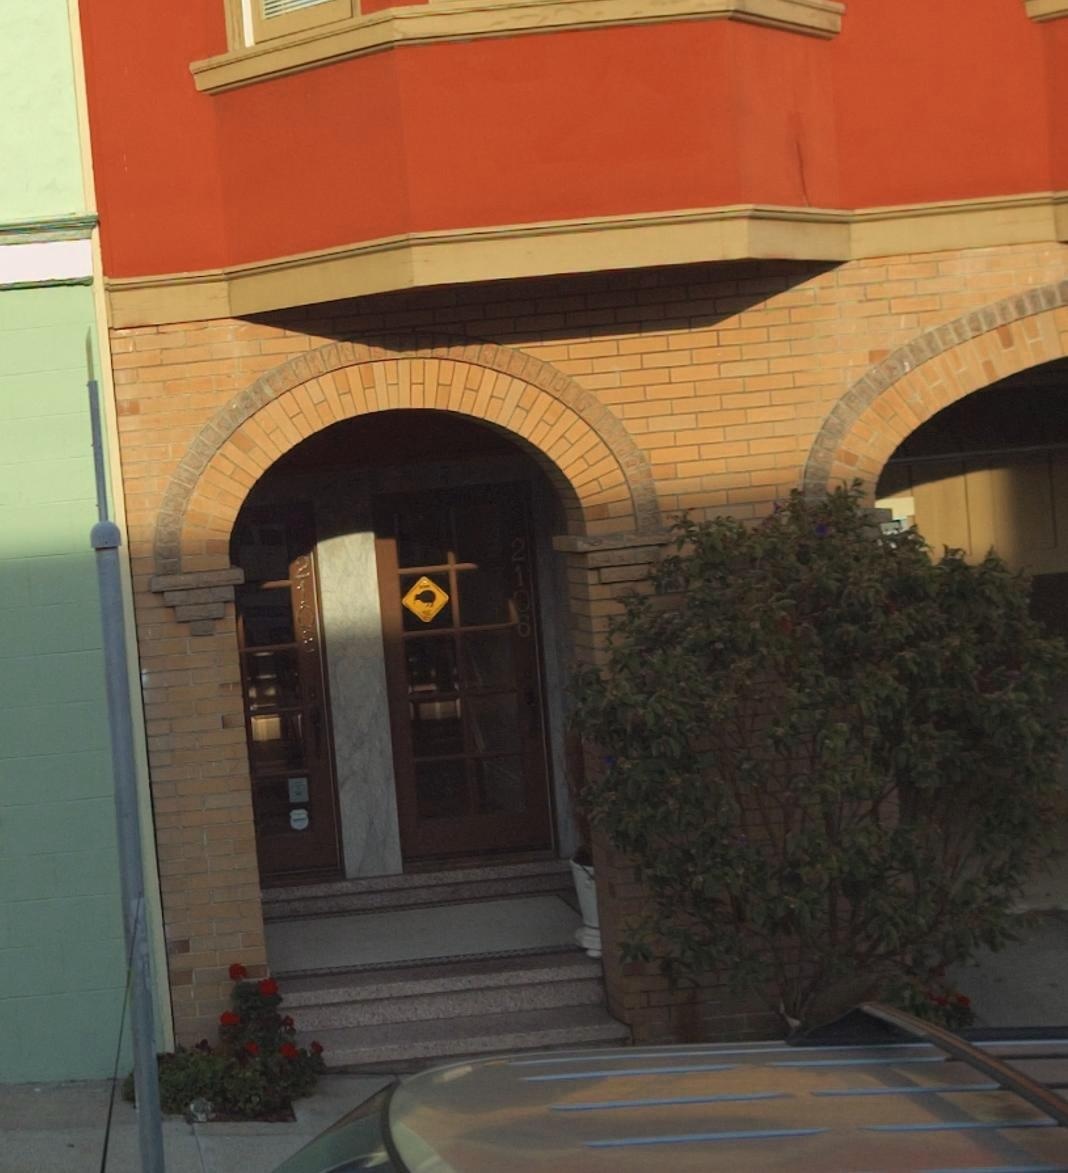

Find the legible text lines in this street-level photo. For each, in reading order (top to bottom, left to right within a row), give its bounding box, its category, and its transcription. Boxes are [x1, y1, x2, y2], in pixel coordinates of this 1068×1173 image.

[290, 553, 320, 658] StreetNumber: 2108
[505, 534, 537, 641] StreetNumber: 2106